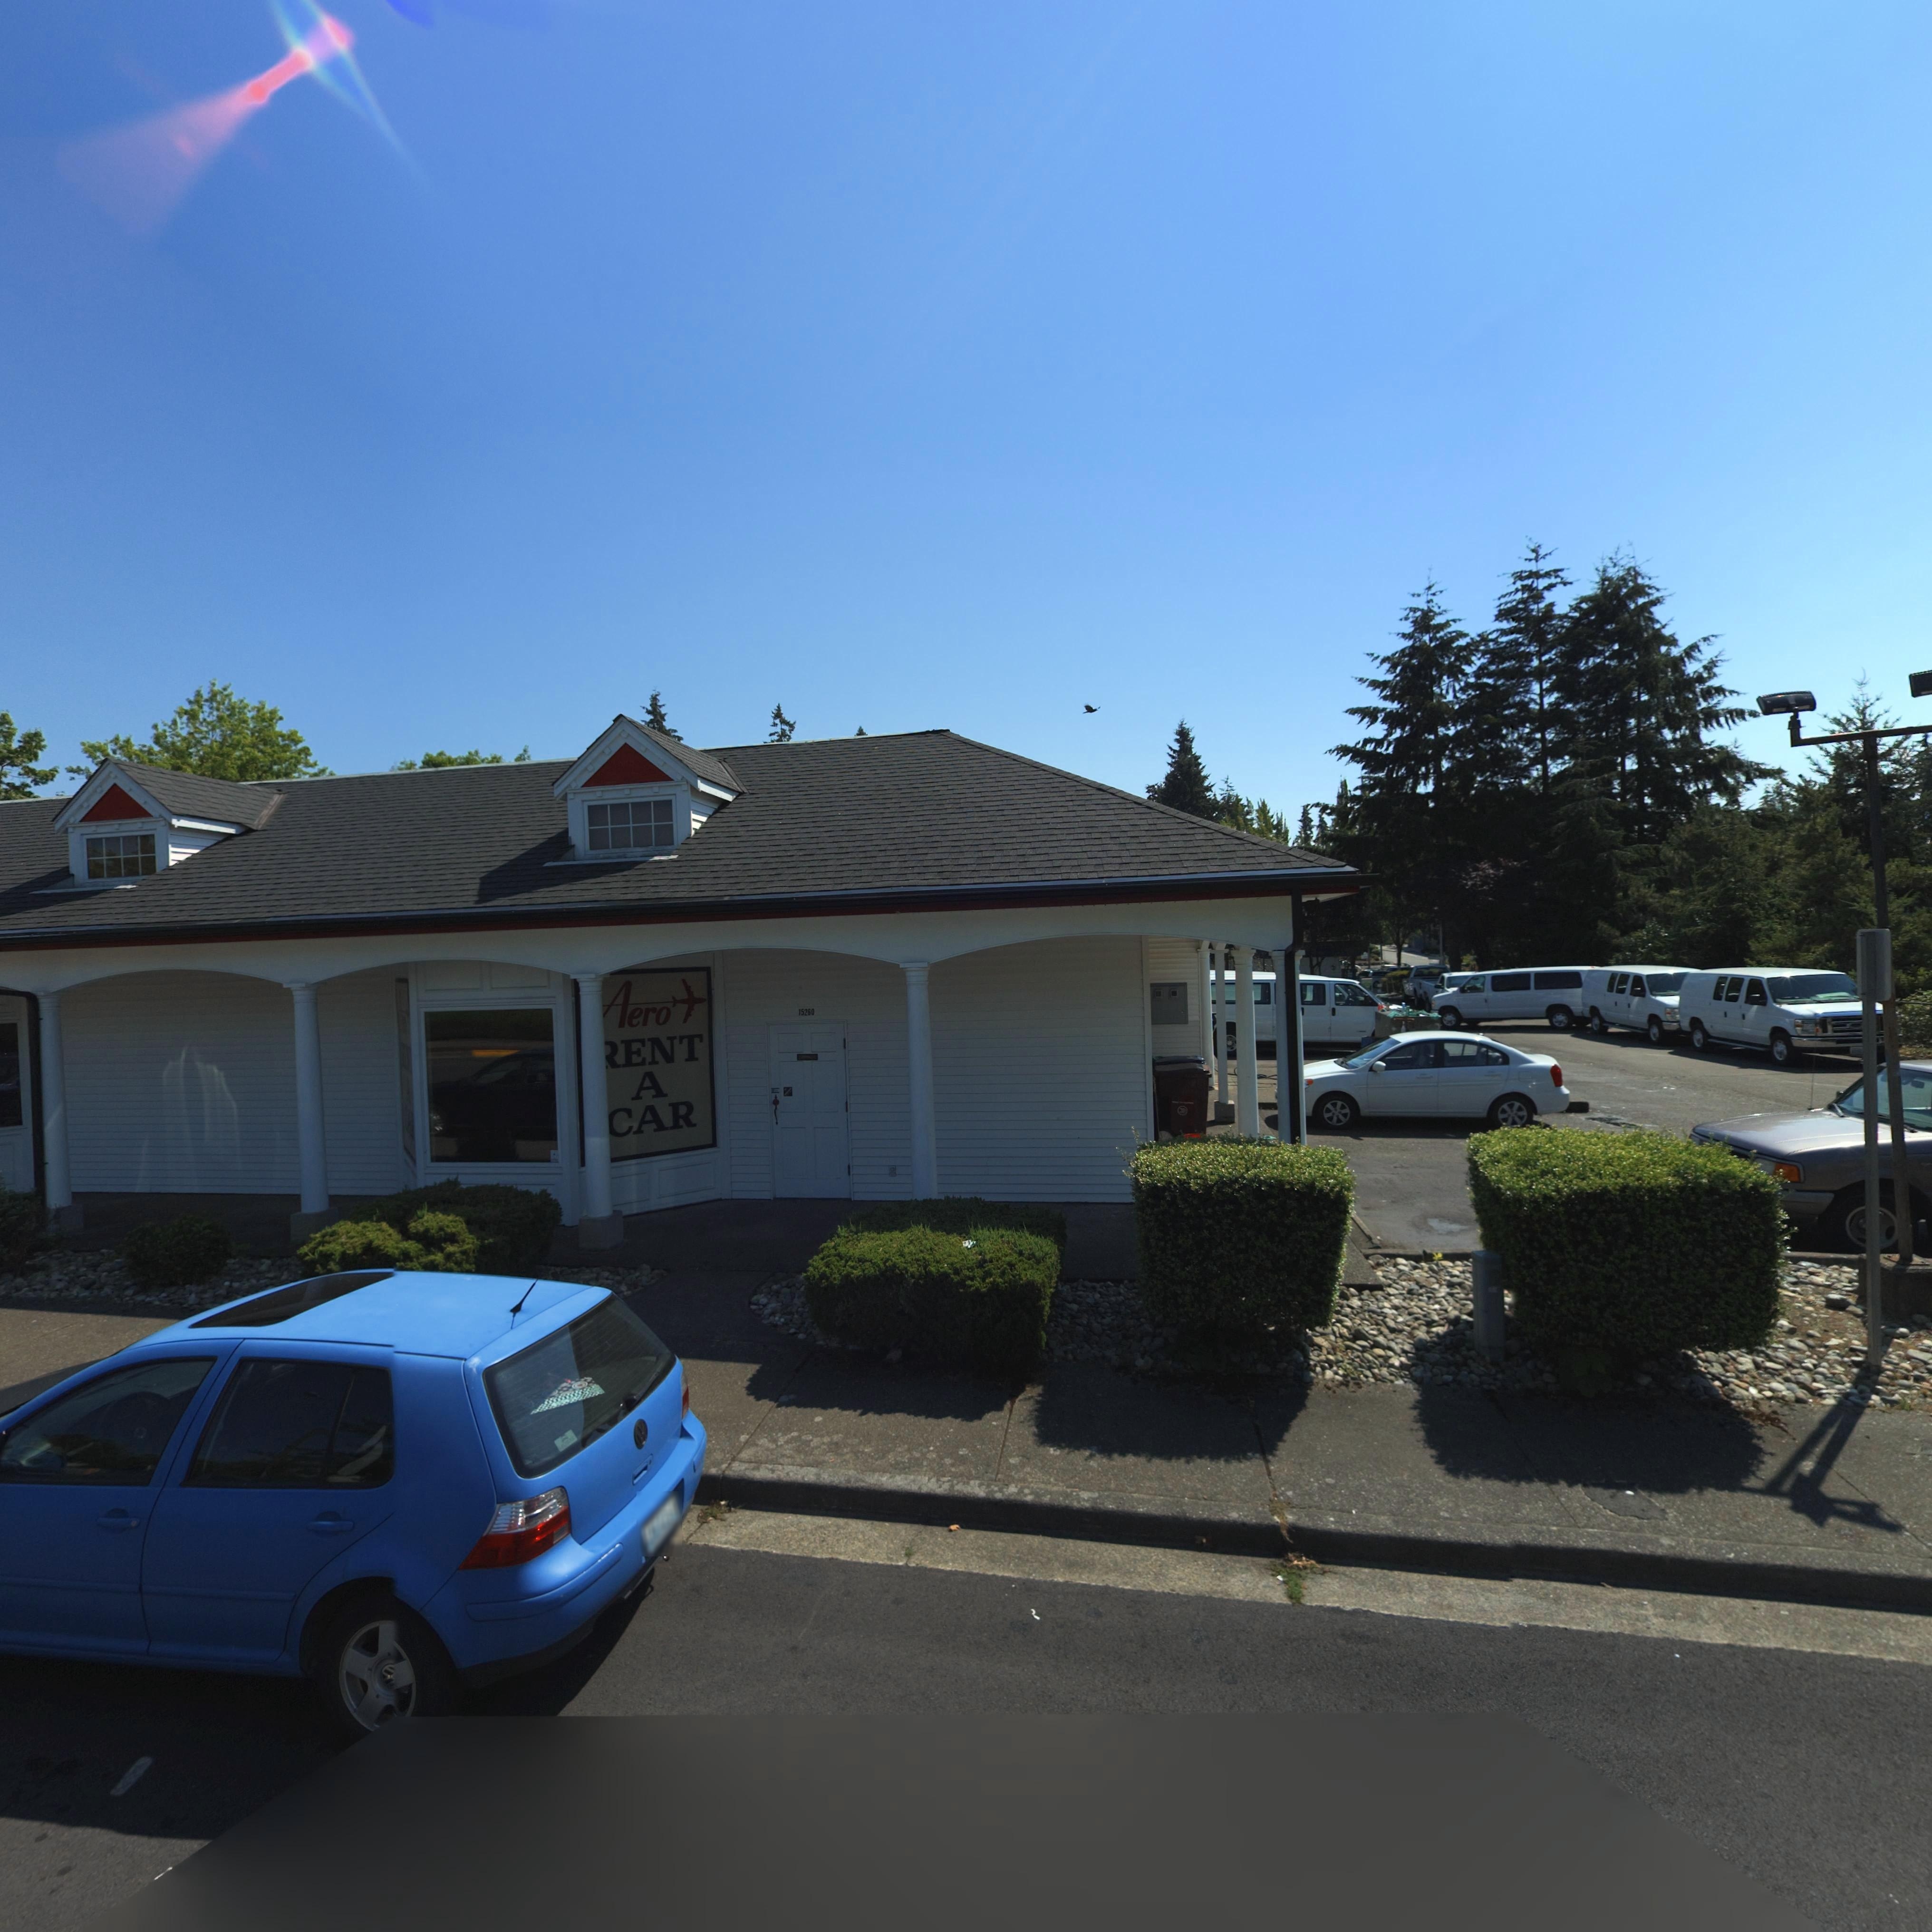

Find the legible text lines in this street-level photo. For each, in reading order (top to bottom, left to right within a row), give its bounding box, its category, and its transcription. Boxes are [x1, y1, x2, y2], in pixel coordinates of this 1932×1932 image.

[604, 1033, 703, 1071] BusinessName: RENT
[629, 1070, 670, 1101] BusinessName: A
[609, 1099, 700, 1139] BusinessName: CAR